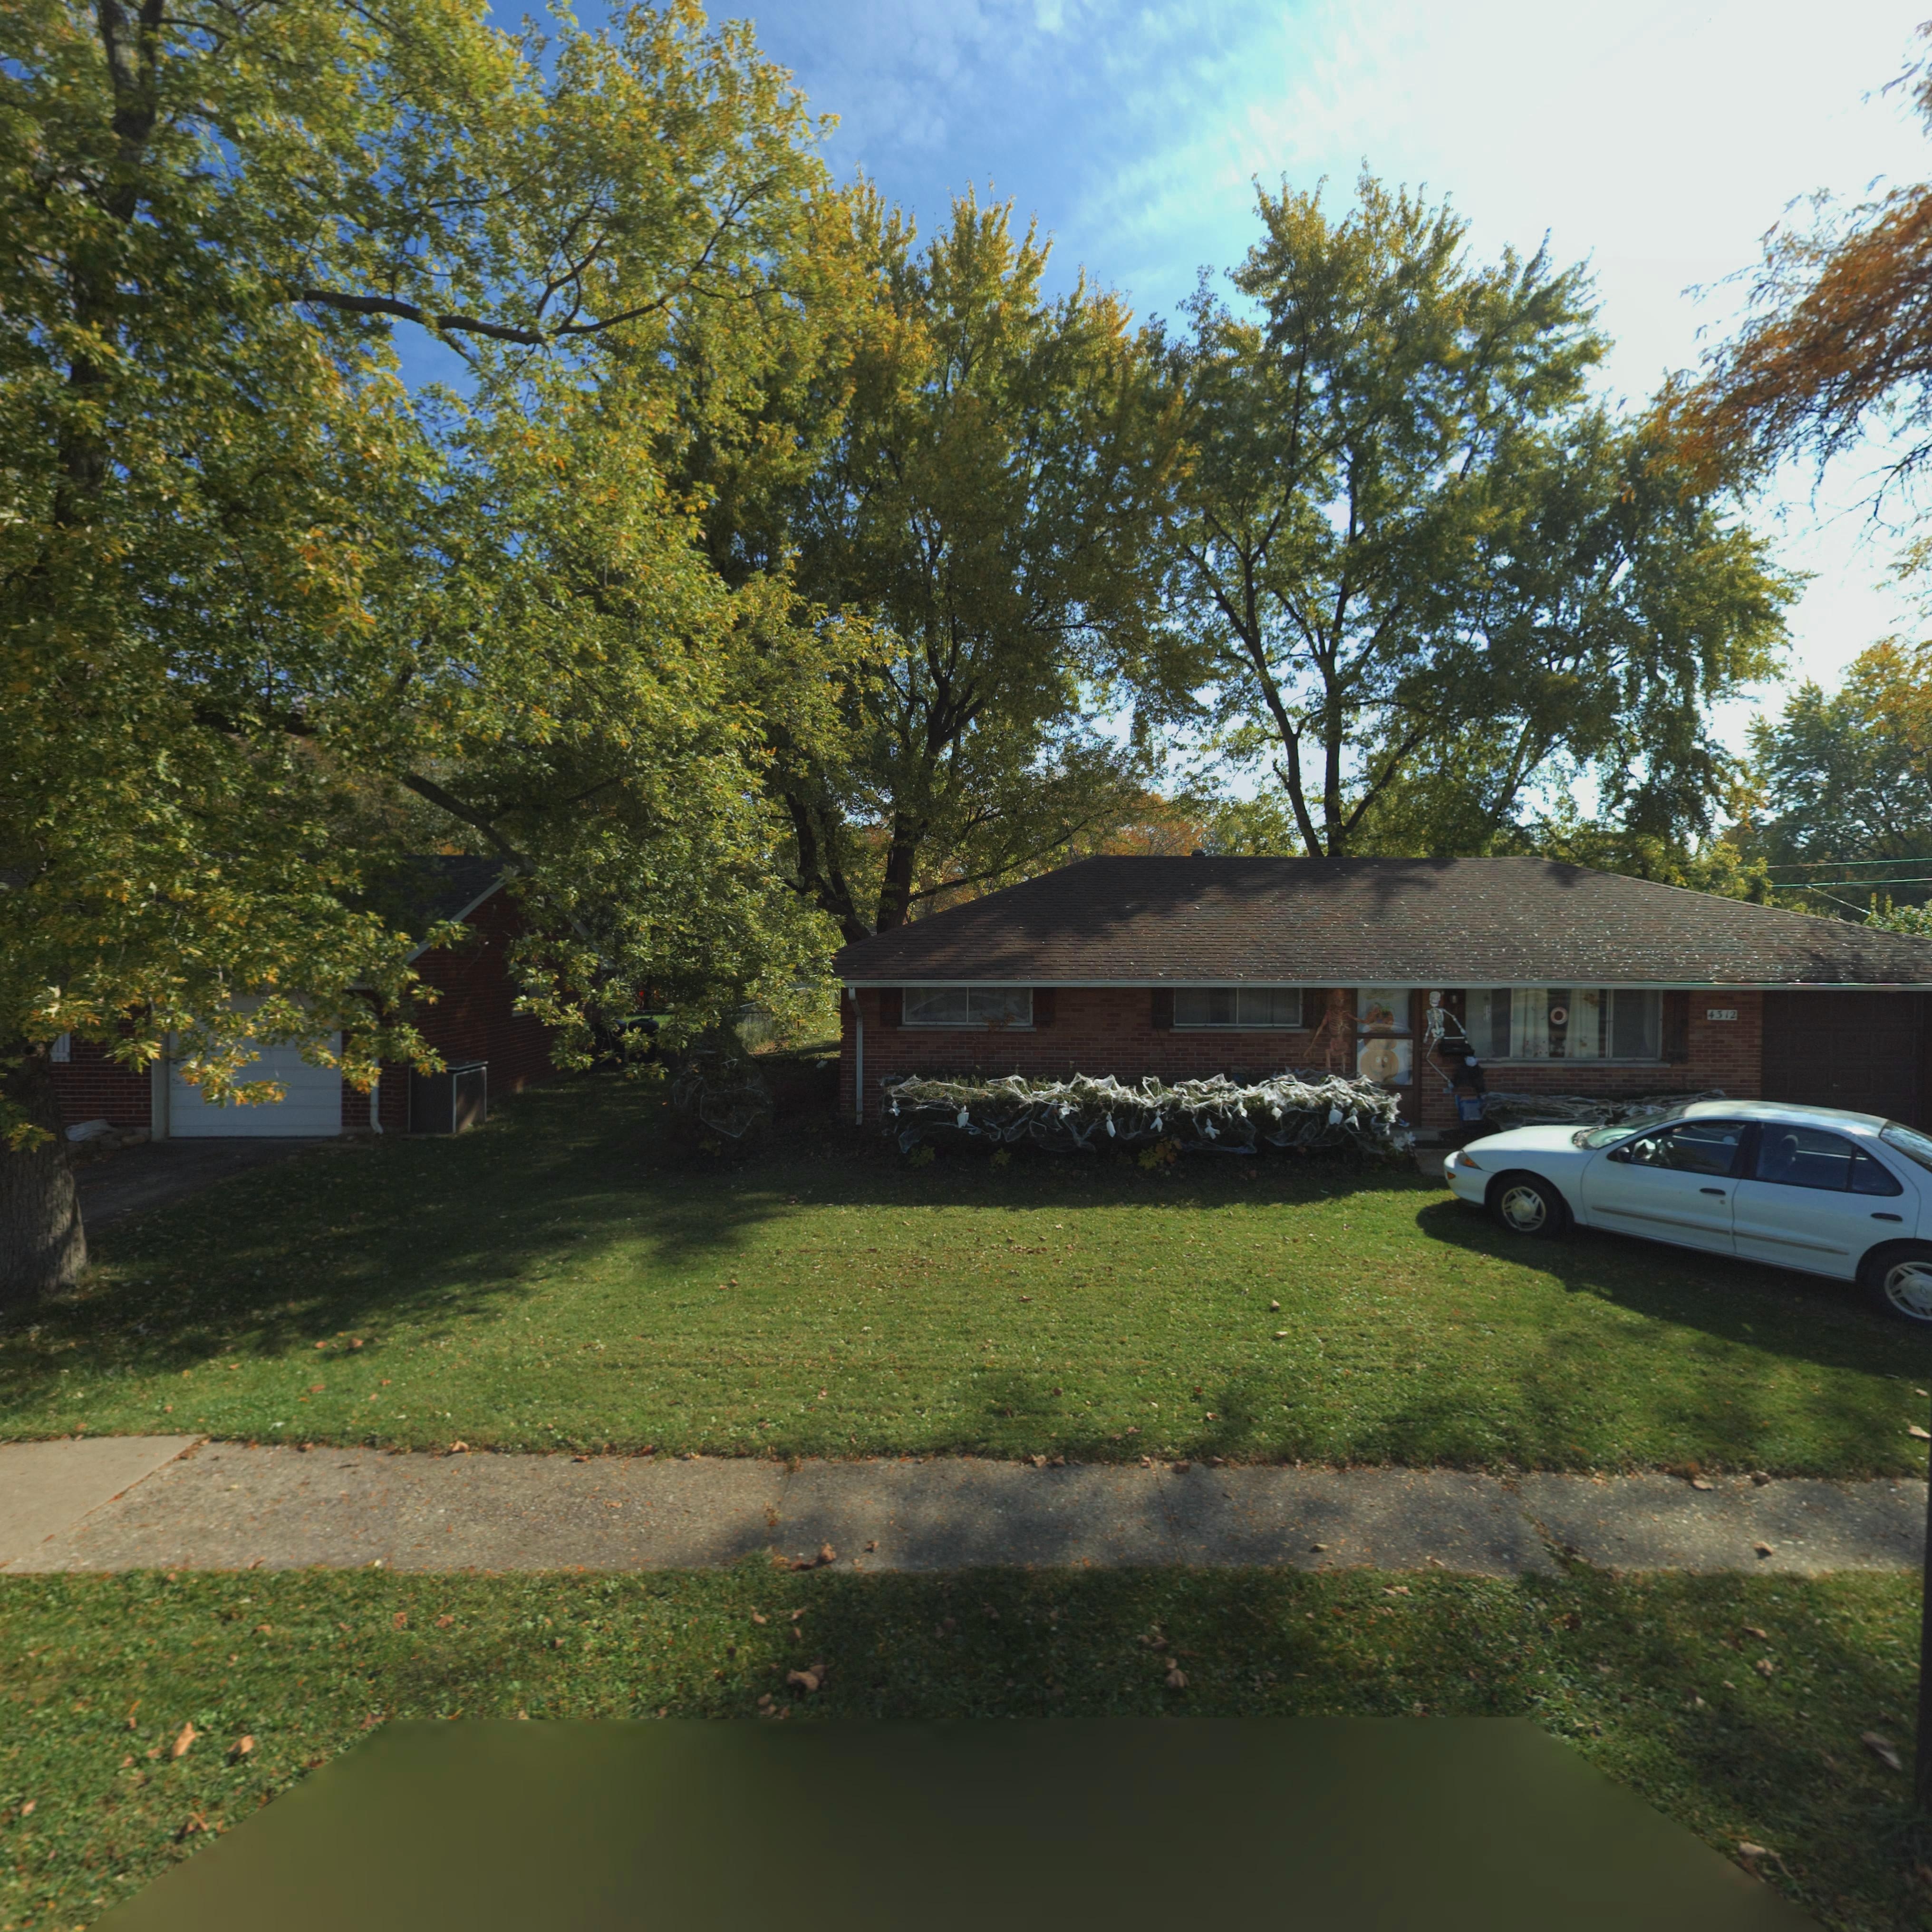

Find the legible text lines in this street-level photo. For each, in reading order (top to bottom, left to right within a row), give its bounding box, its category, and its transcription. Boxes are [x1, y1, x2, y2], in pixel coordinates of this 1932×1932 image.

[1706, 1009, 1738, 1020] StreetNumber: 4312